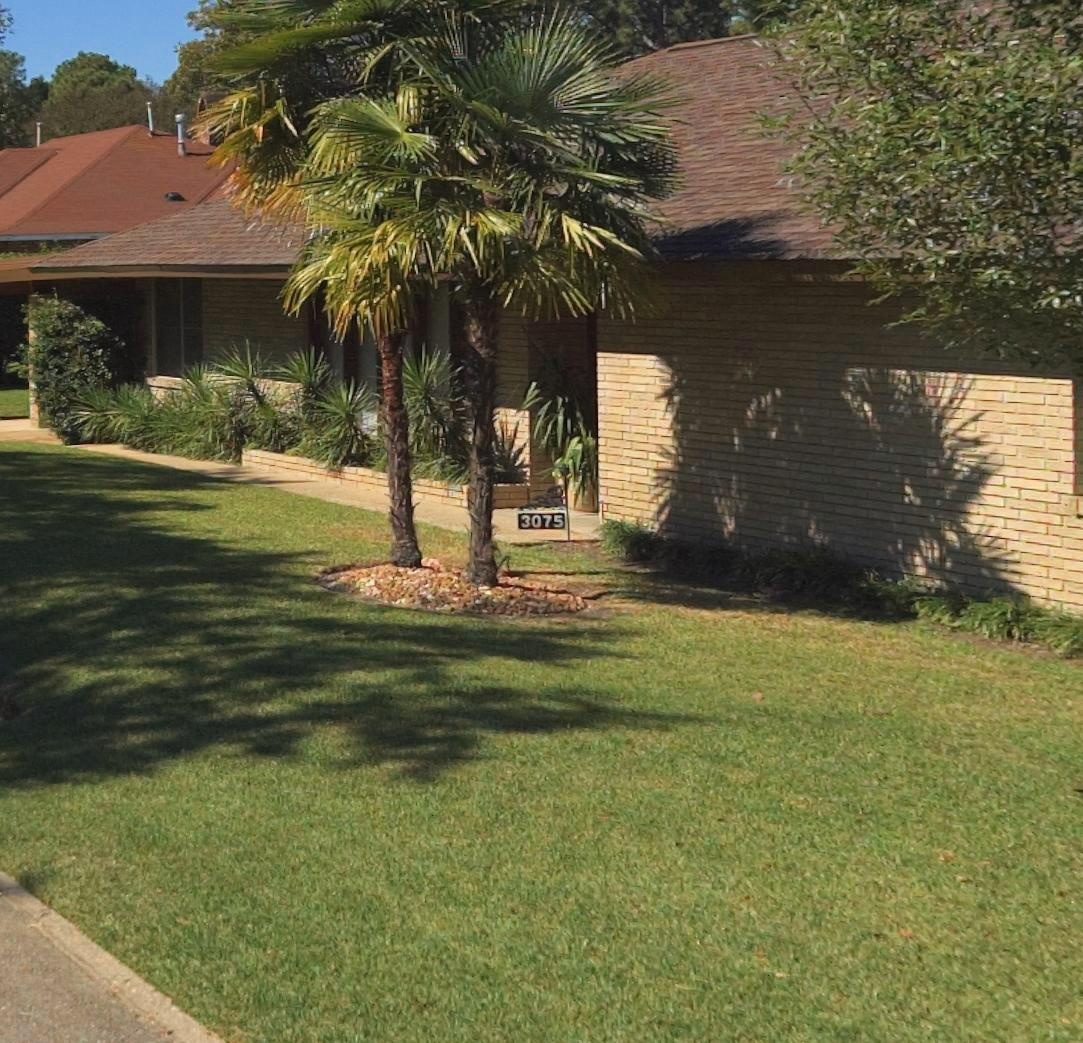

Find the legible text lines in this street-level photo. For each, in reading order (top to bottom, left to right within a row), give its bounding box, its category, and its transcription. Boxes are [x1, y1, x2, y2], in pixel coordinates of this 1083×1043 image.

[519, 513, 565, 530] StreetNumber: 3075